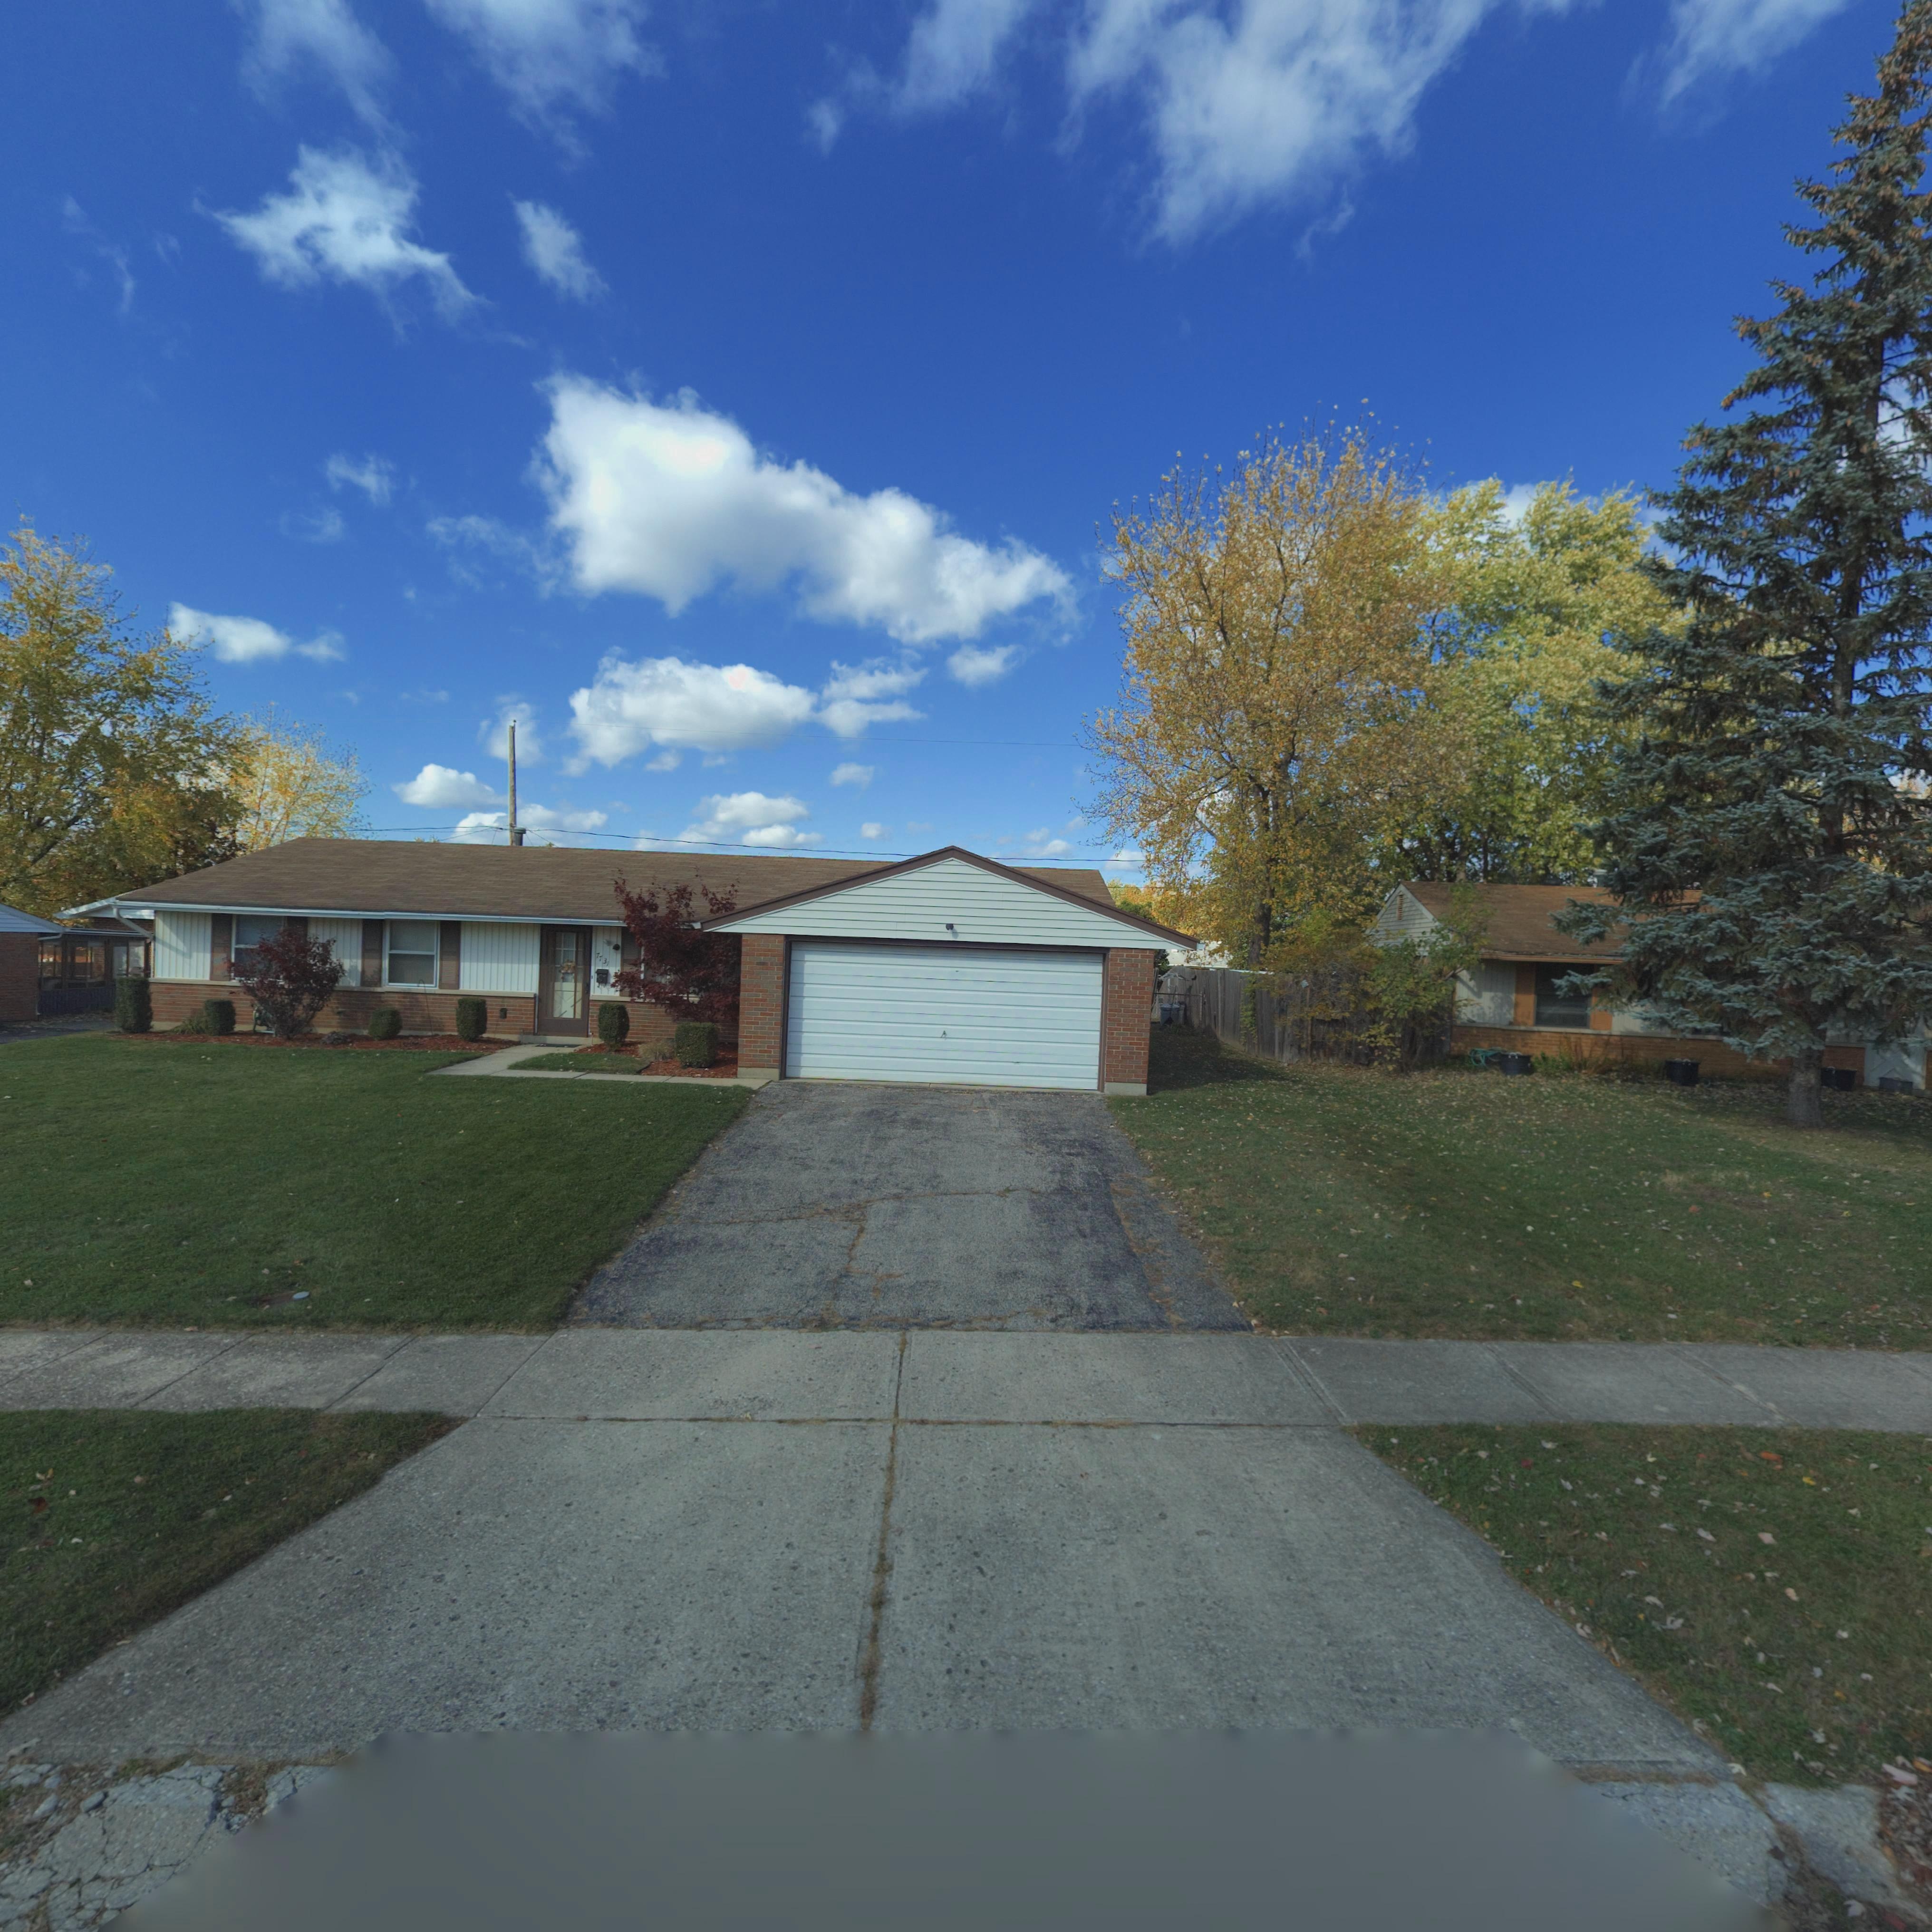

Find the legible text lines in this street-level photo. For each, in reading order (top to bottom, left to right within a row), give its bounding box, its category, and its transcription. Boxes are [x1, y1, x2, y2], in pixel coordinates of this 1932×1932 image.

[596, 952, 610, 967] StreetNumber: 7731